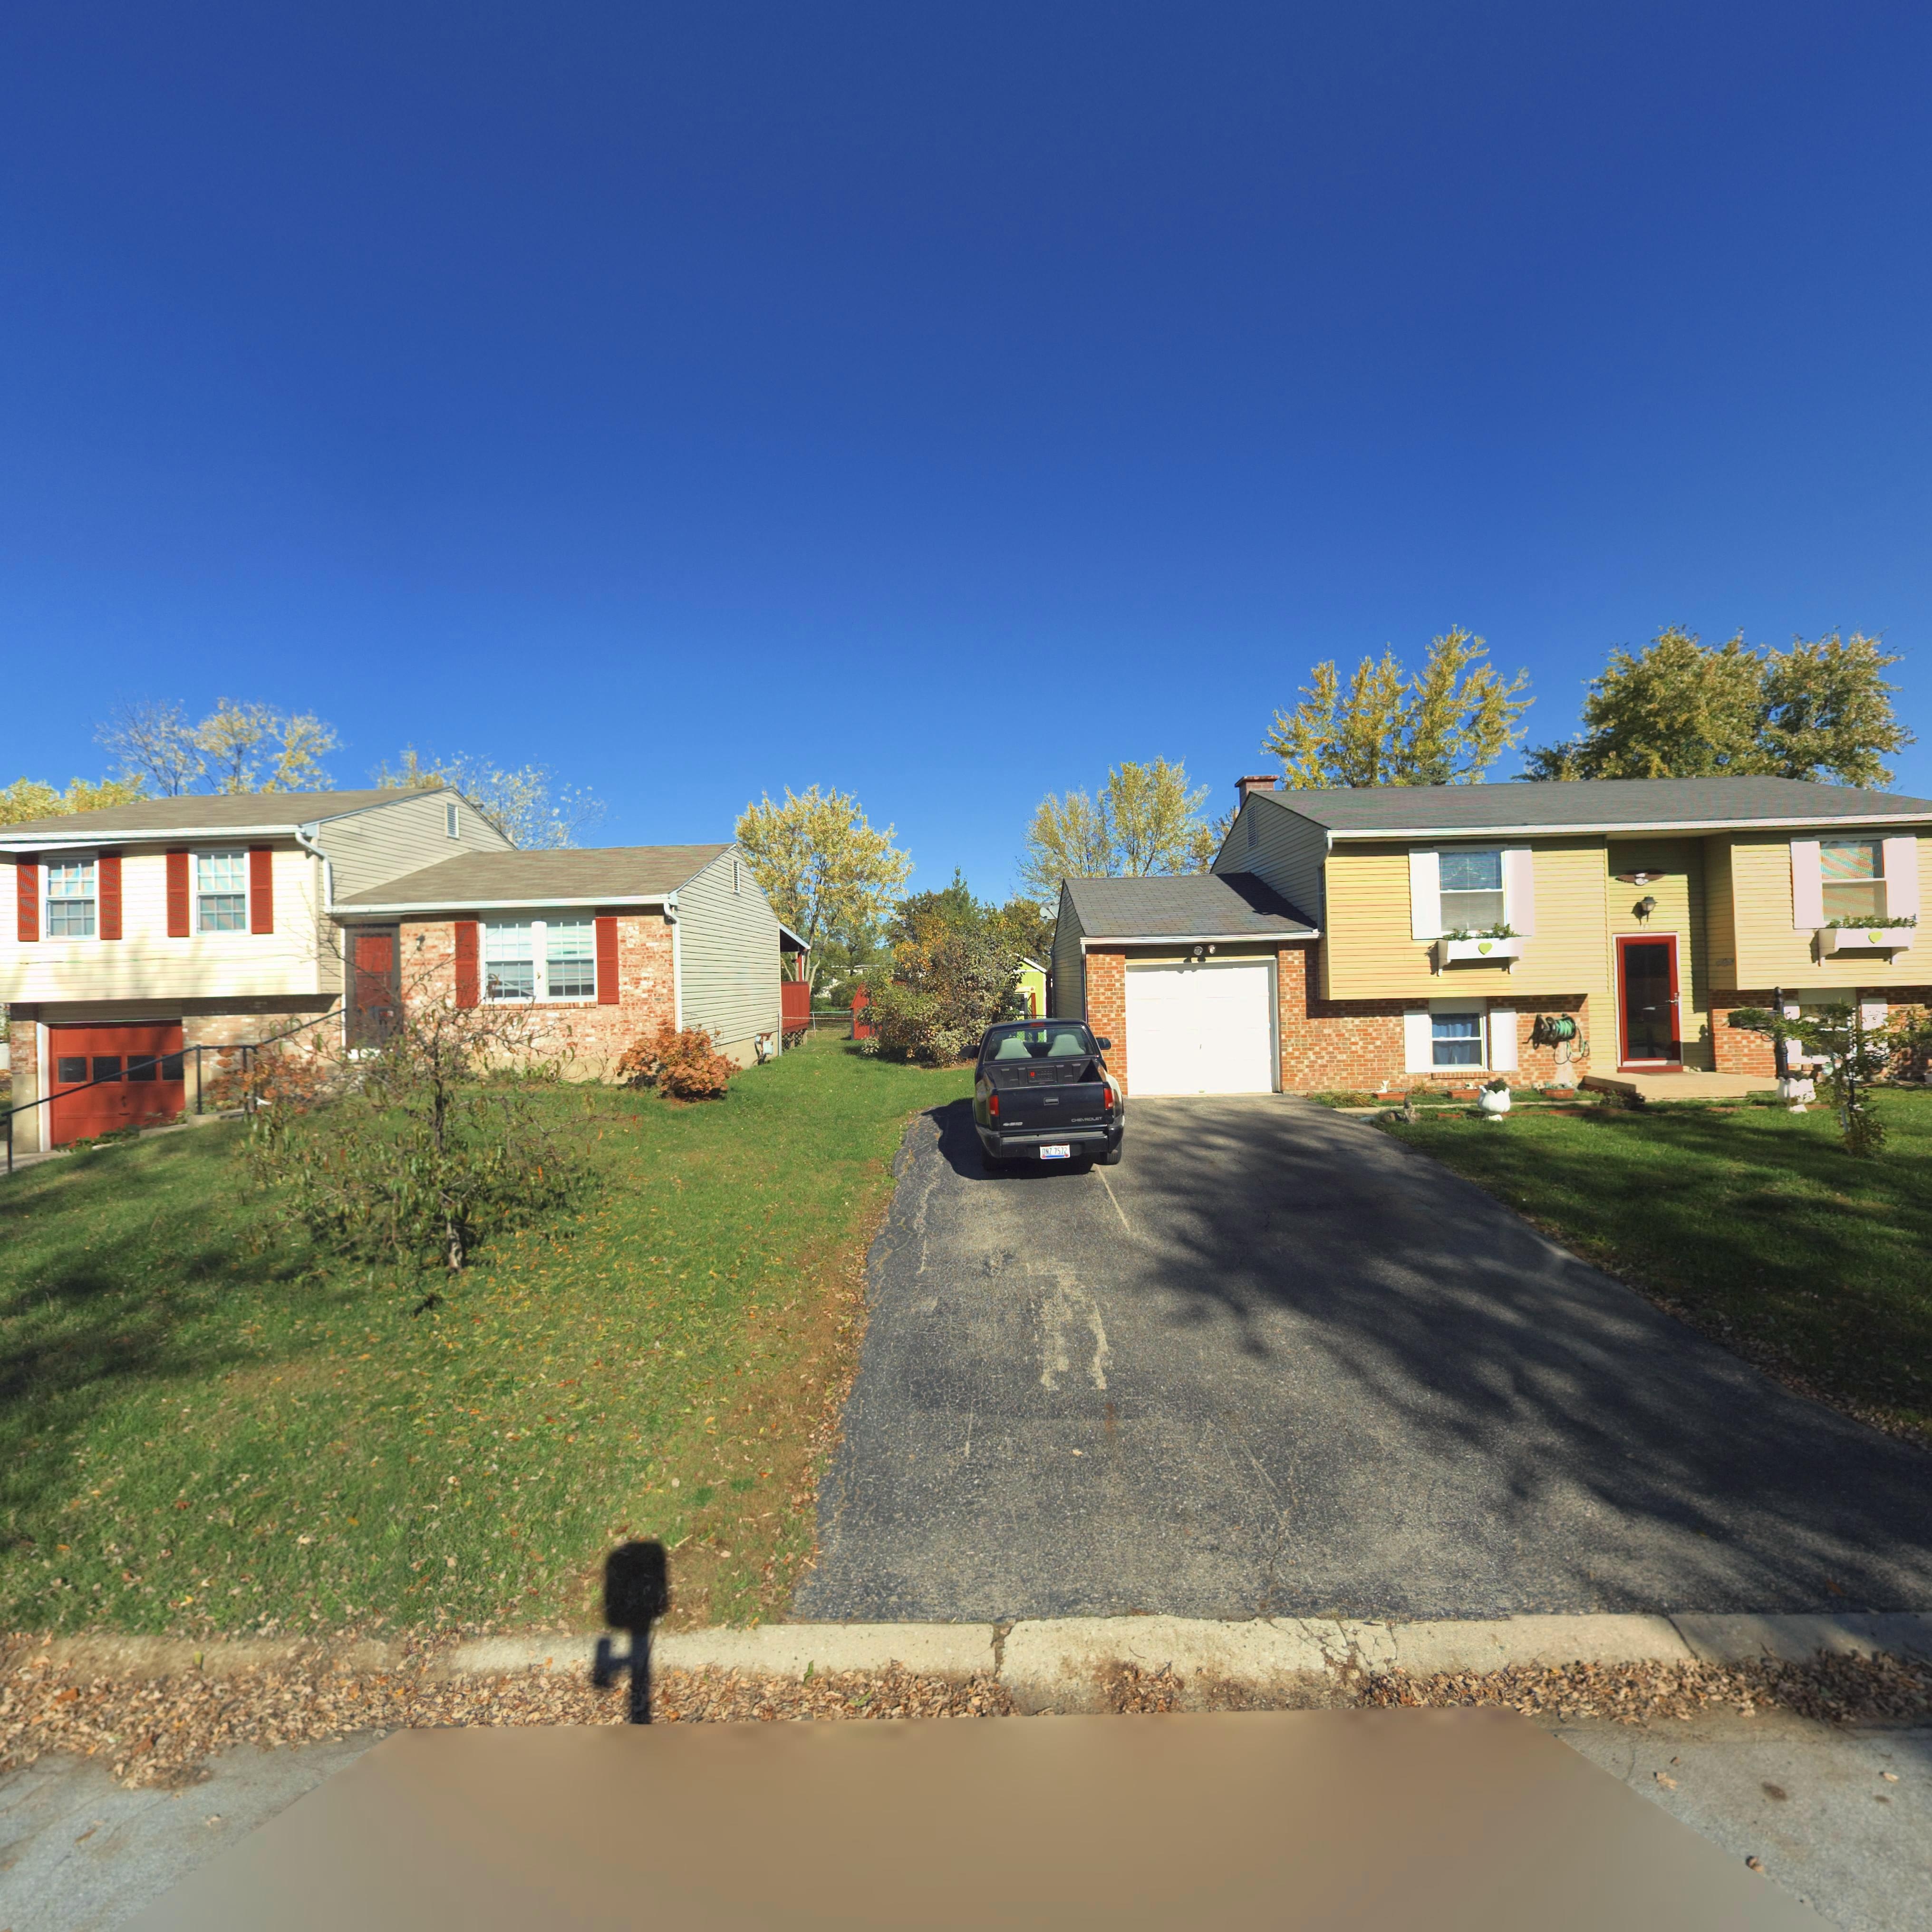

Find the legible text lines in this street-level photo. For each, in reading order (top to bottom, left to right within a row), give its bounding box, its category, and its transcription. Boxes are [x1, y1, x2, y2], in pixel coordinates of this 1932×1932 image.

[411, 973, 434, 983] StreetNumber: **2